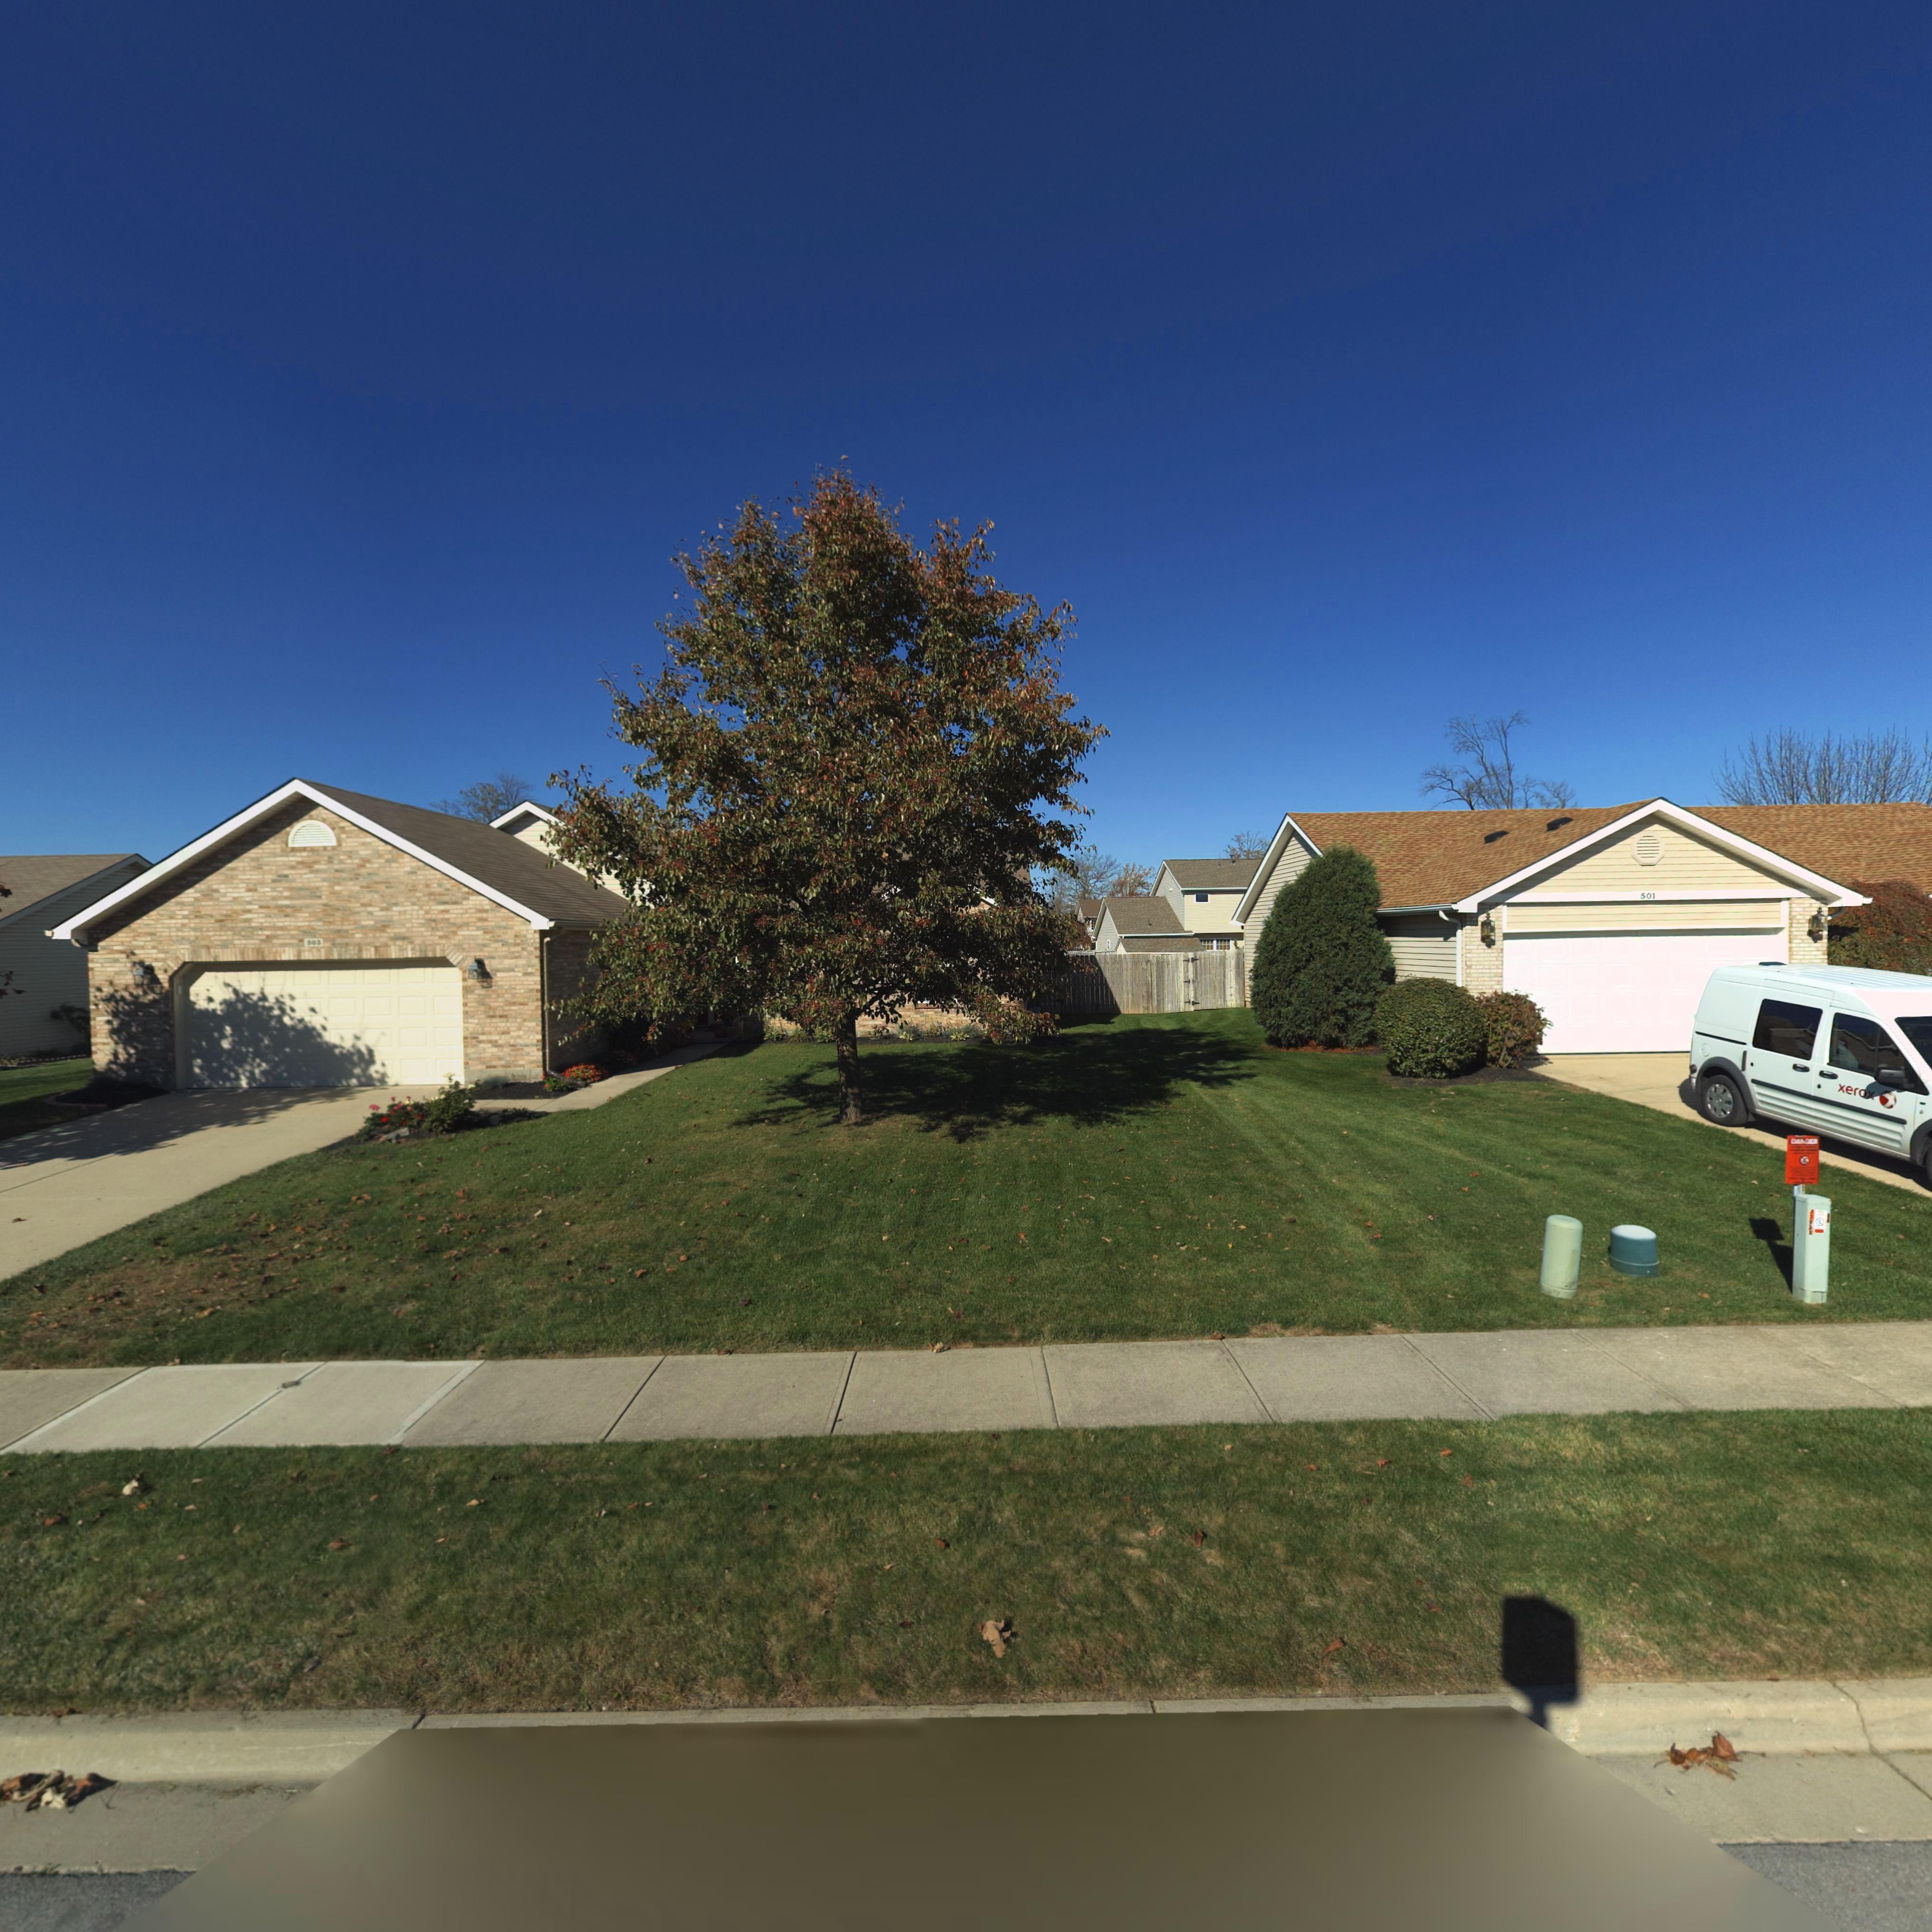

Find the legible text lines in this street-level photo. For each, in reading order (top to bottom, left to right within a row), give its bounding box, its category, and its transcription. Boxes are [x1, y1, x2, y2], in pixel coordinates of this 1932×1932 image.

[1640, 892, 1656, 900] StreetNumber: 501
[306, 938, 322, 947] StreetNumber: 503